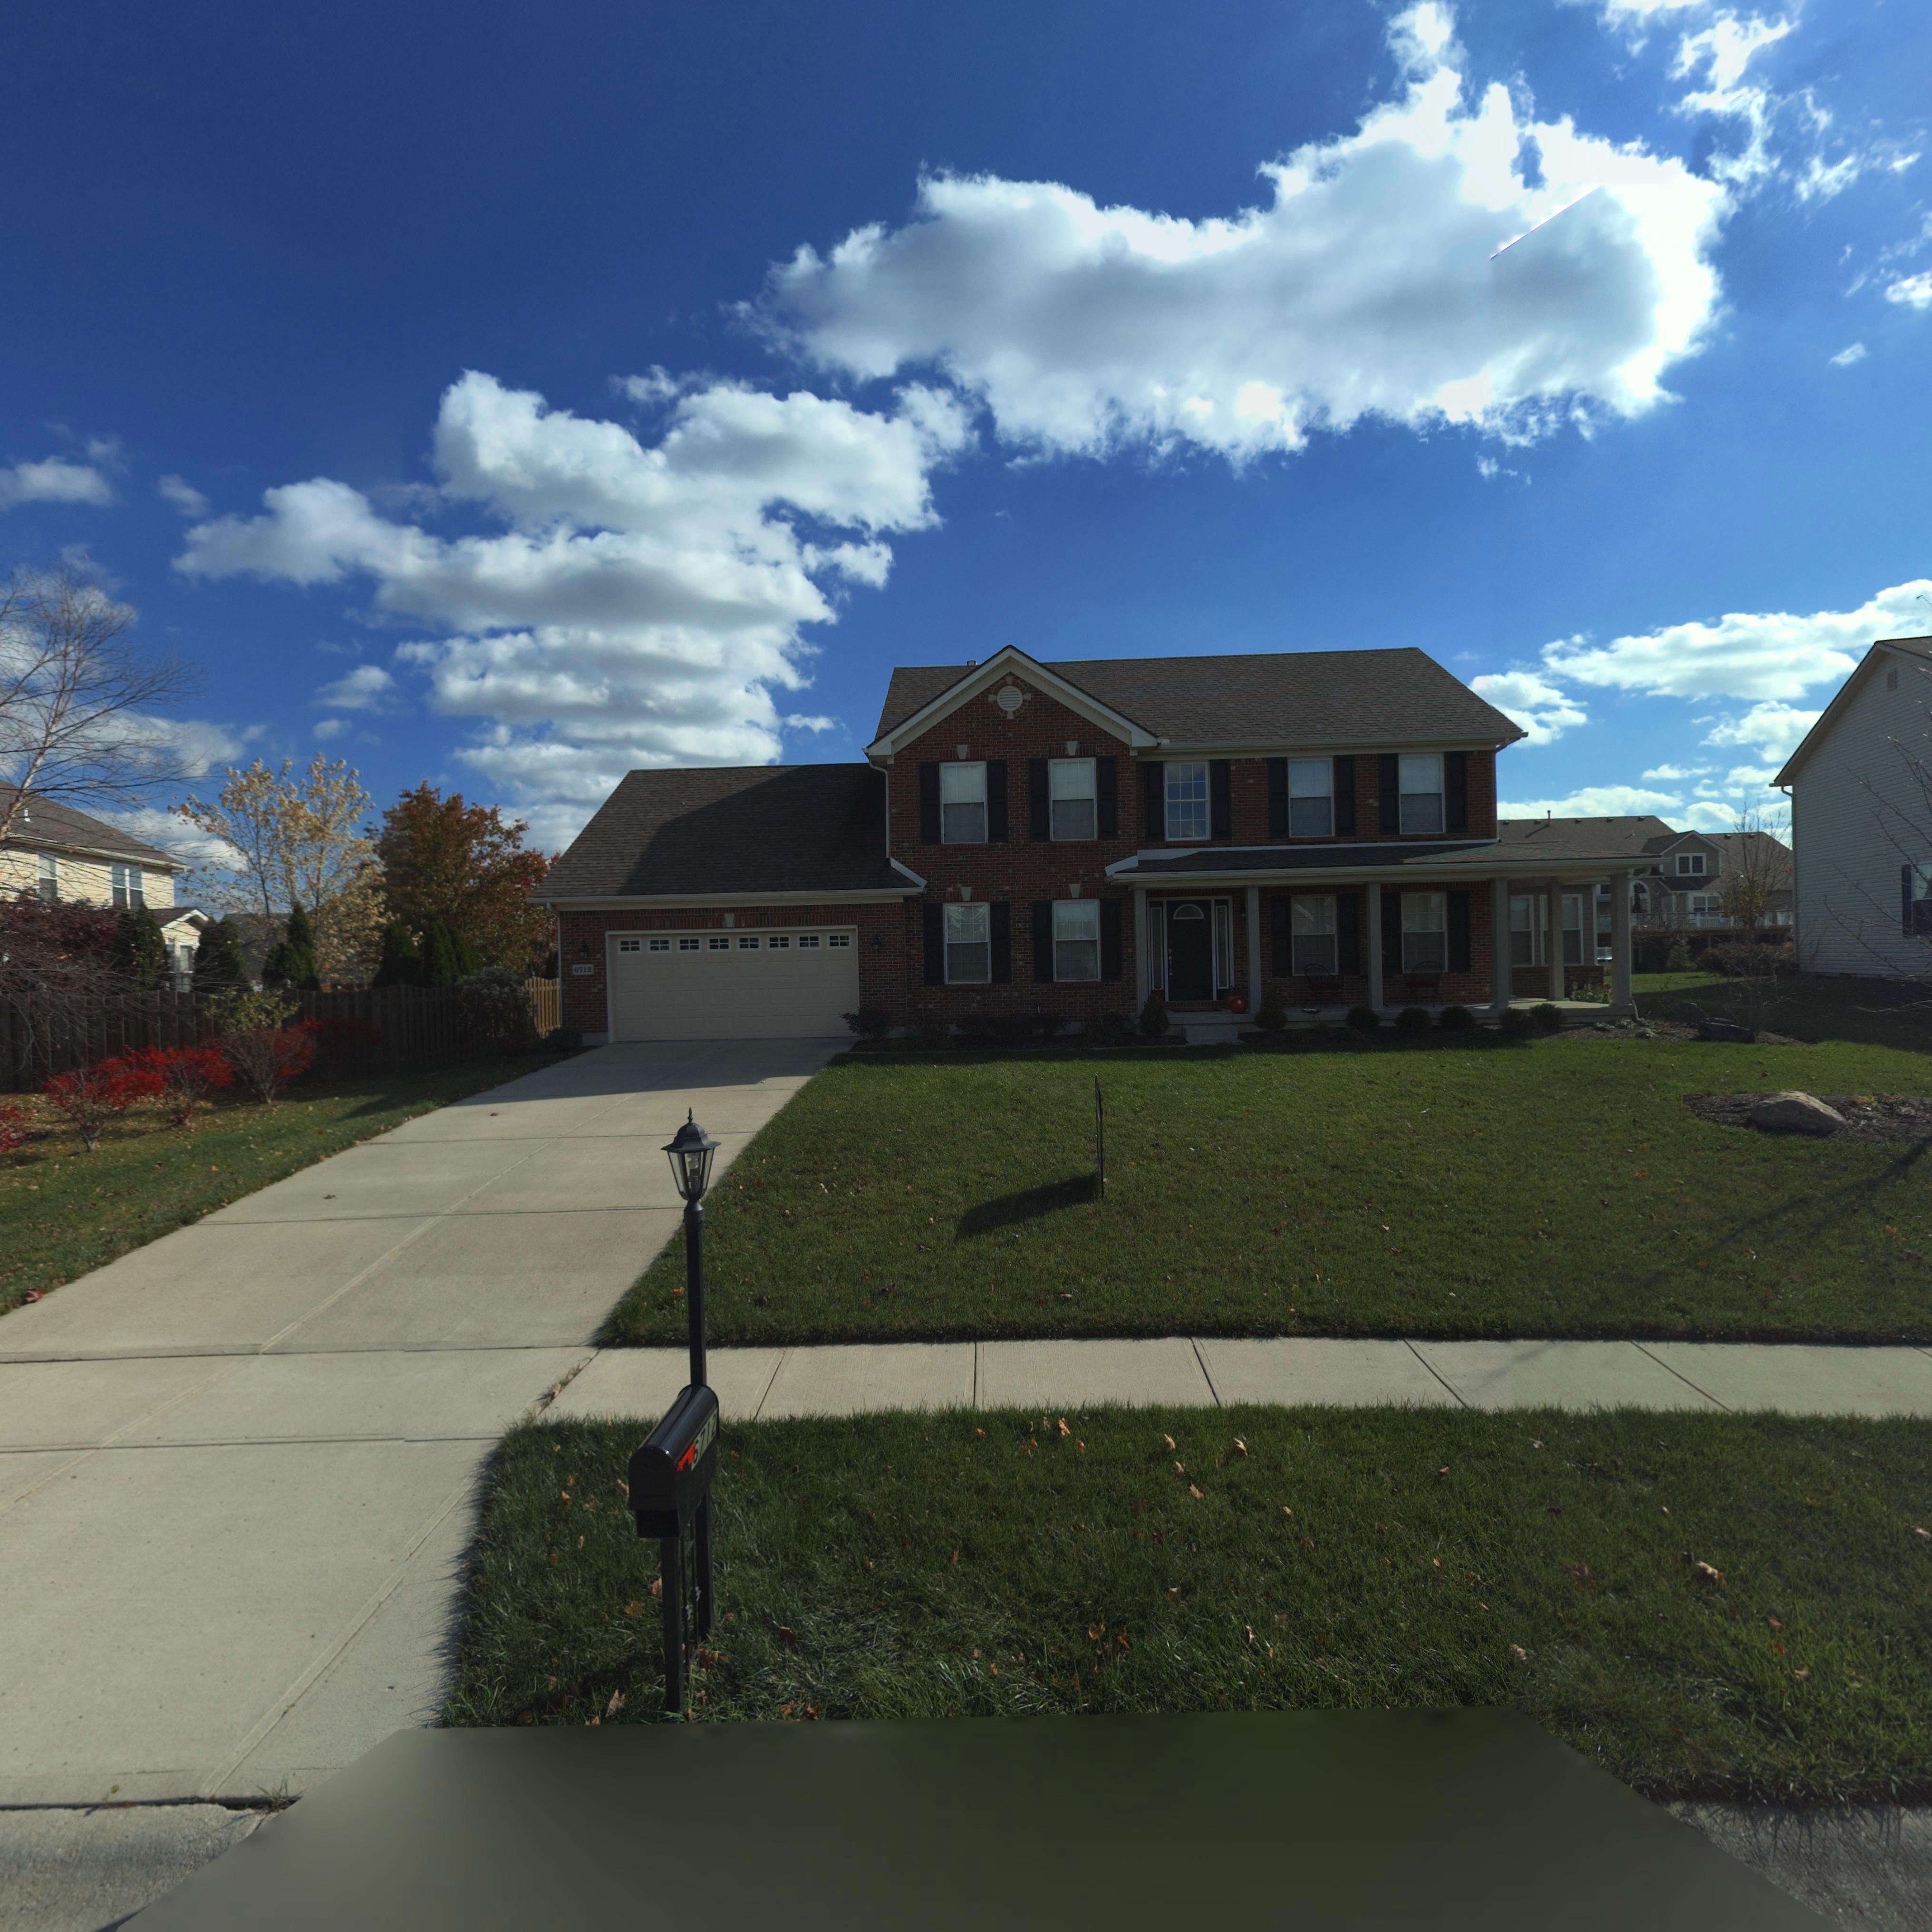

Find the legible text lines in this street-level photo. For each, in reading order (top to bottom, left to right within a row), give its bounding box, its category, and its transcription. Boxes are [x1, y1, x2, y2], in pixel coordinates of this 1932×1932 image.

[574, 966, 592, 973] StreetNumber: 6712
[692, 1409, 717, 1467] StreetNumber: 6712